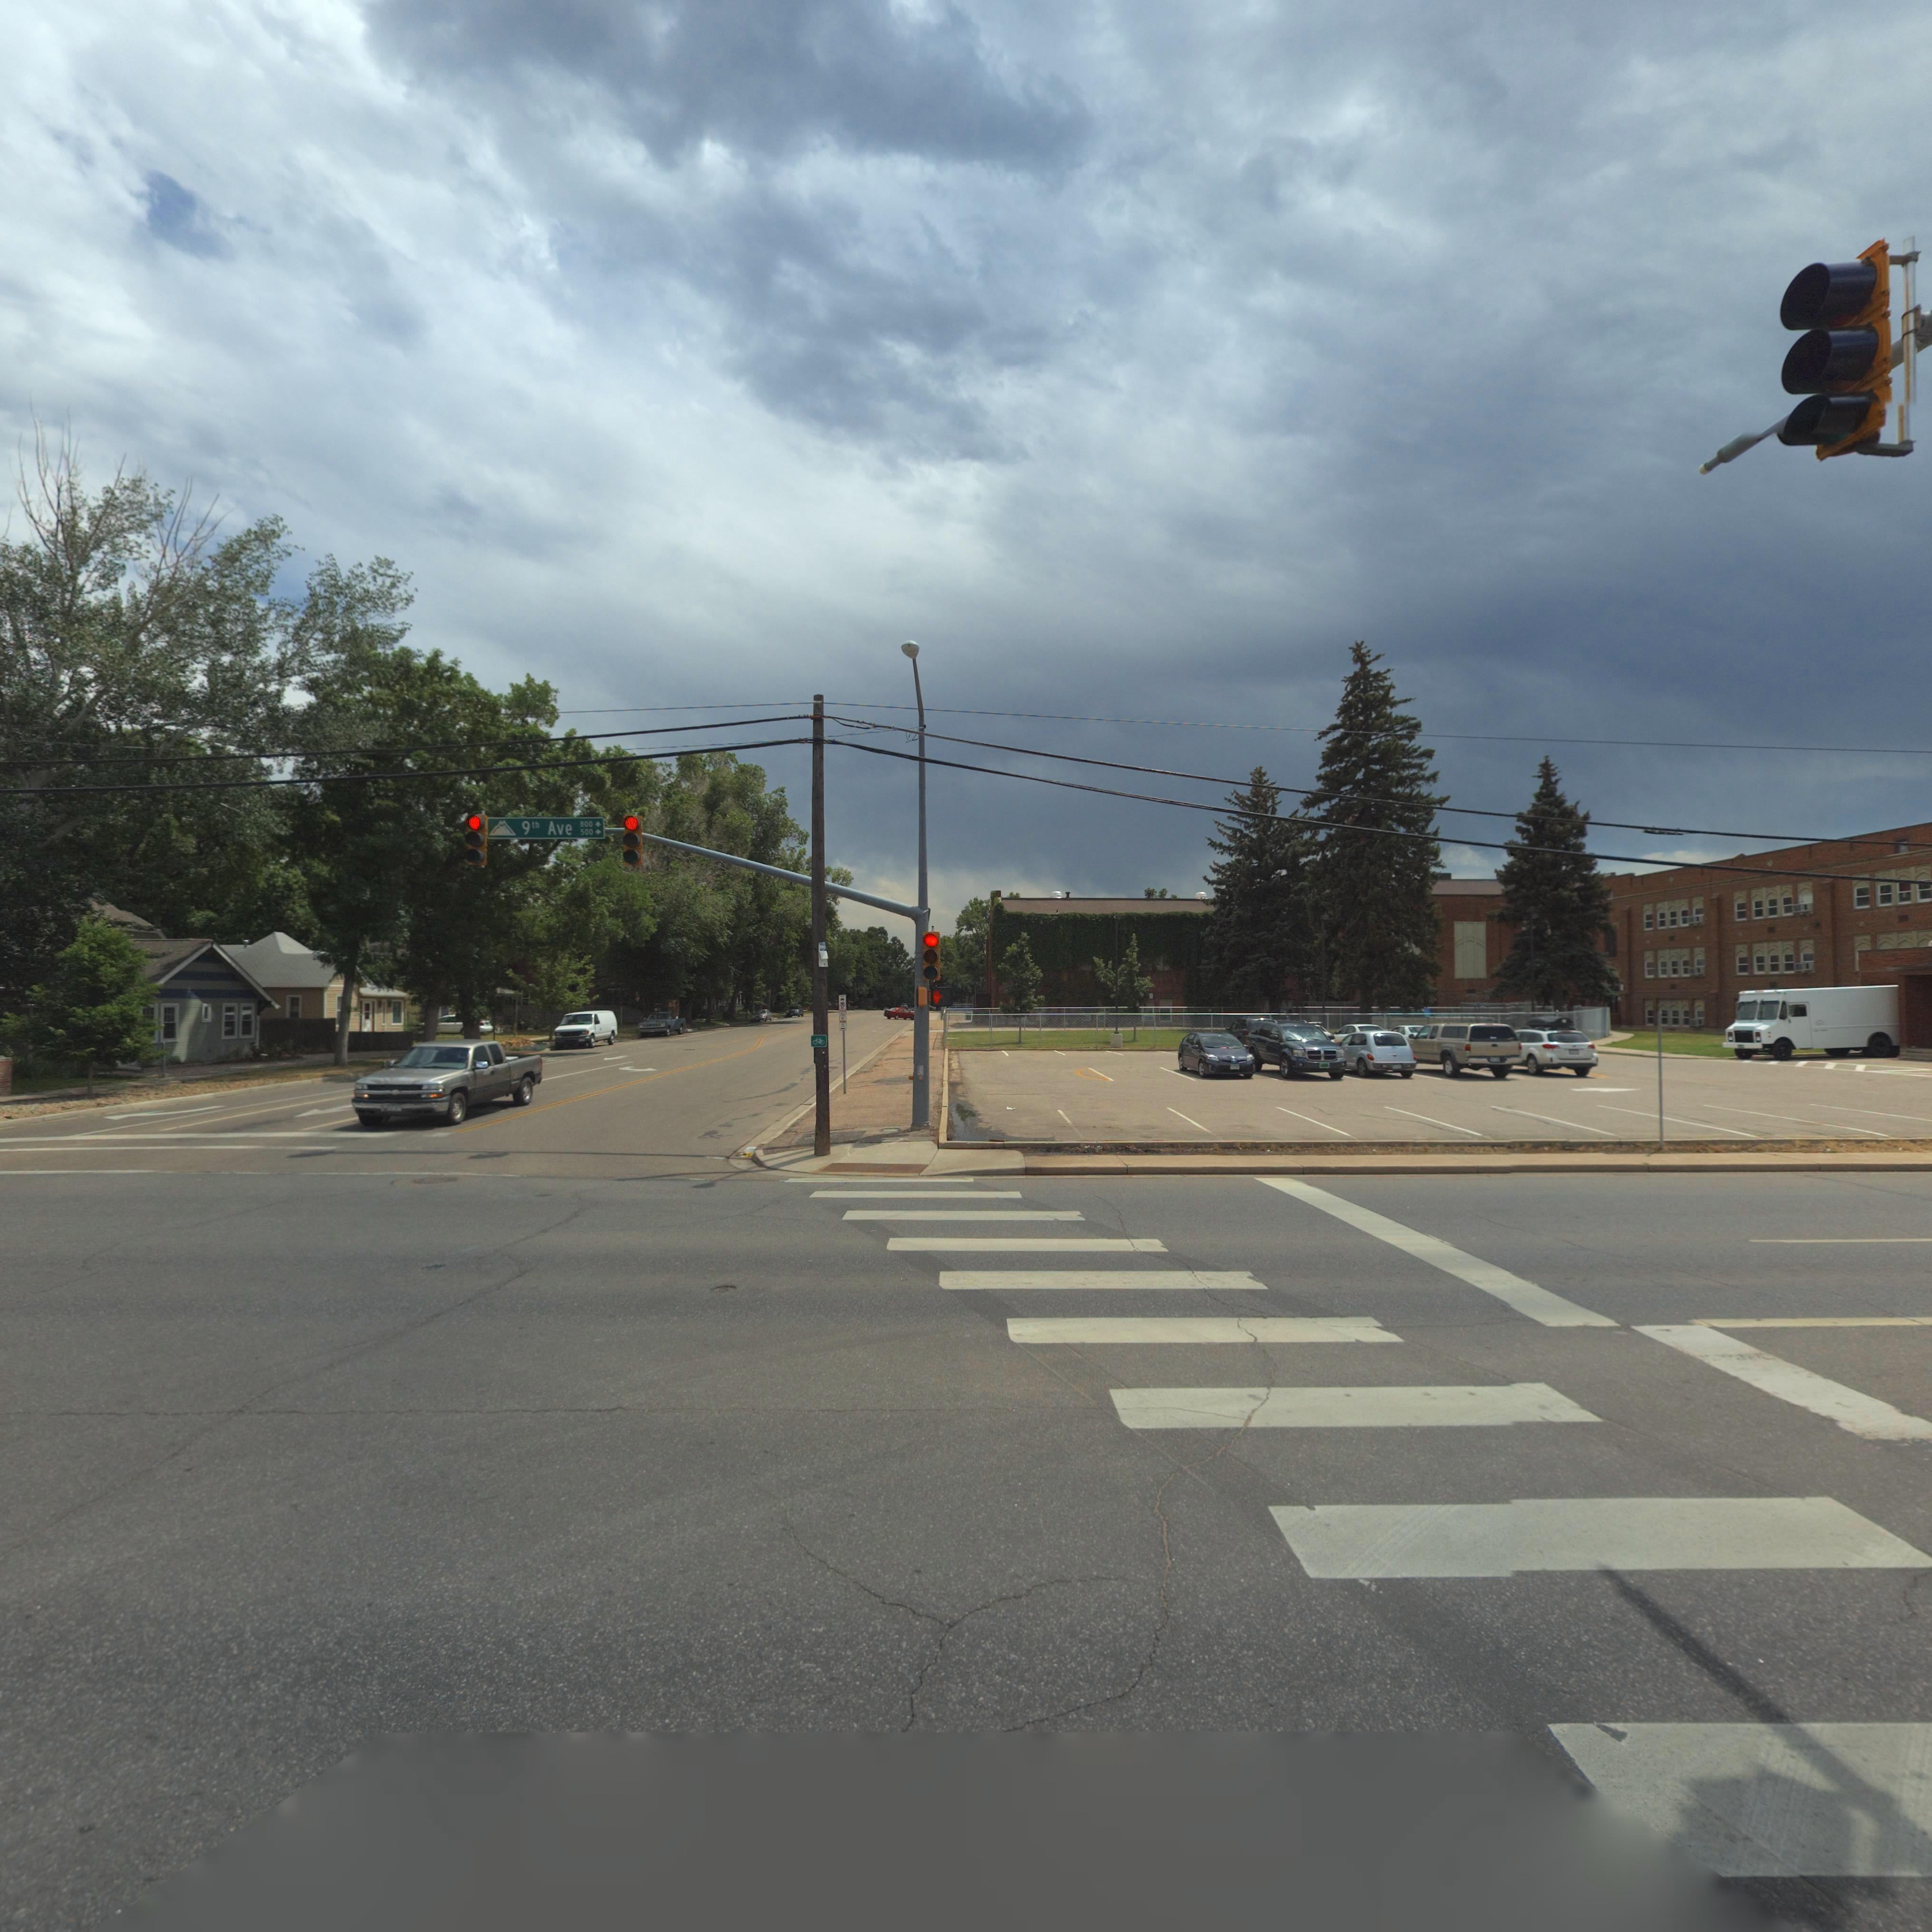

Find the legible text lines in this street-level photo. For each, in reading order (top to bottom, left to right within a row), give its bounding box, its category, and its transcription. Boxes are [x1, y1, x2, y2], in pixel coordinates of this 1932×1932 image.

[580, 821, 592, 827] StreetNumberRange: 800
[522, 821, 572, 835] StreetName: 9th Ave
[580, 829, 601, 835] StreetNumberRange: 500 ->